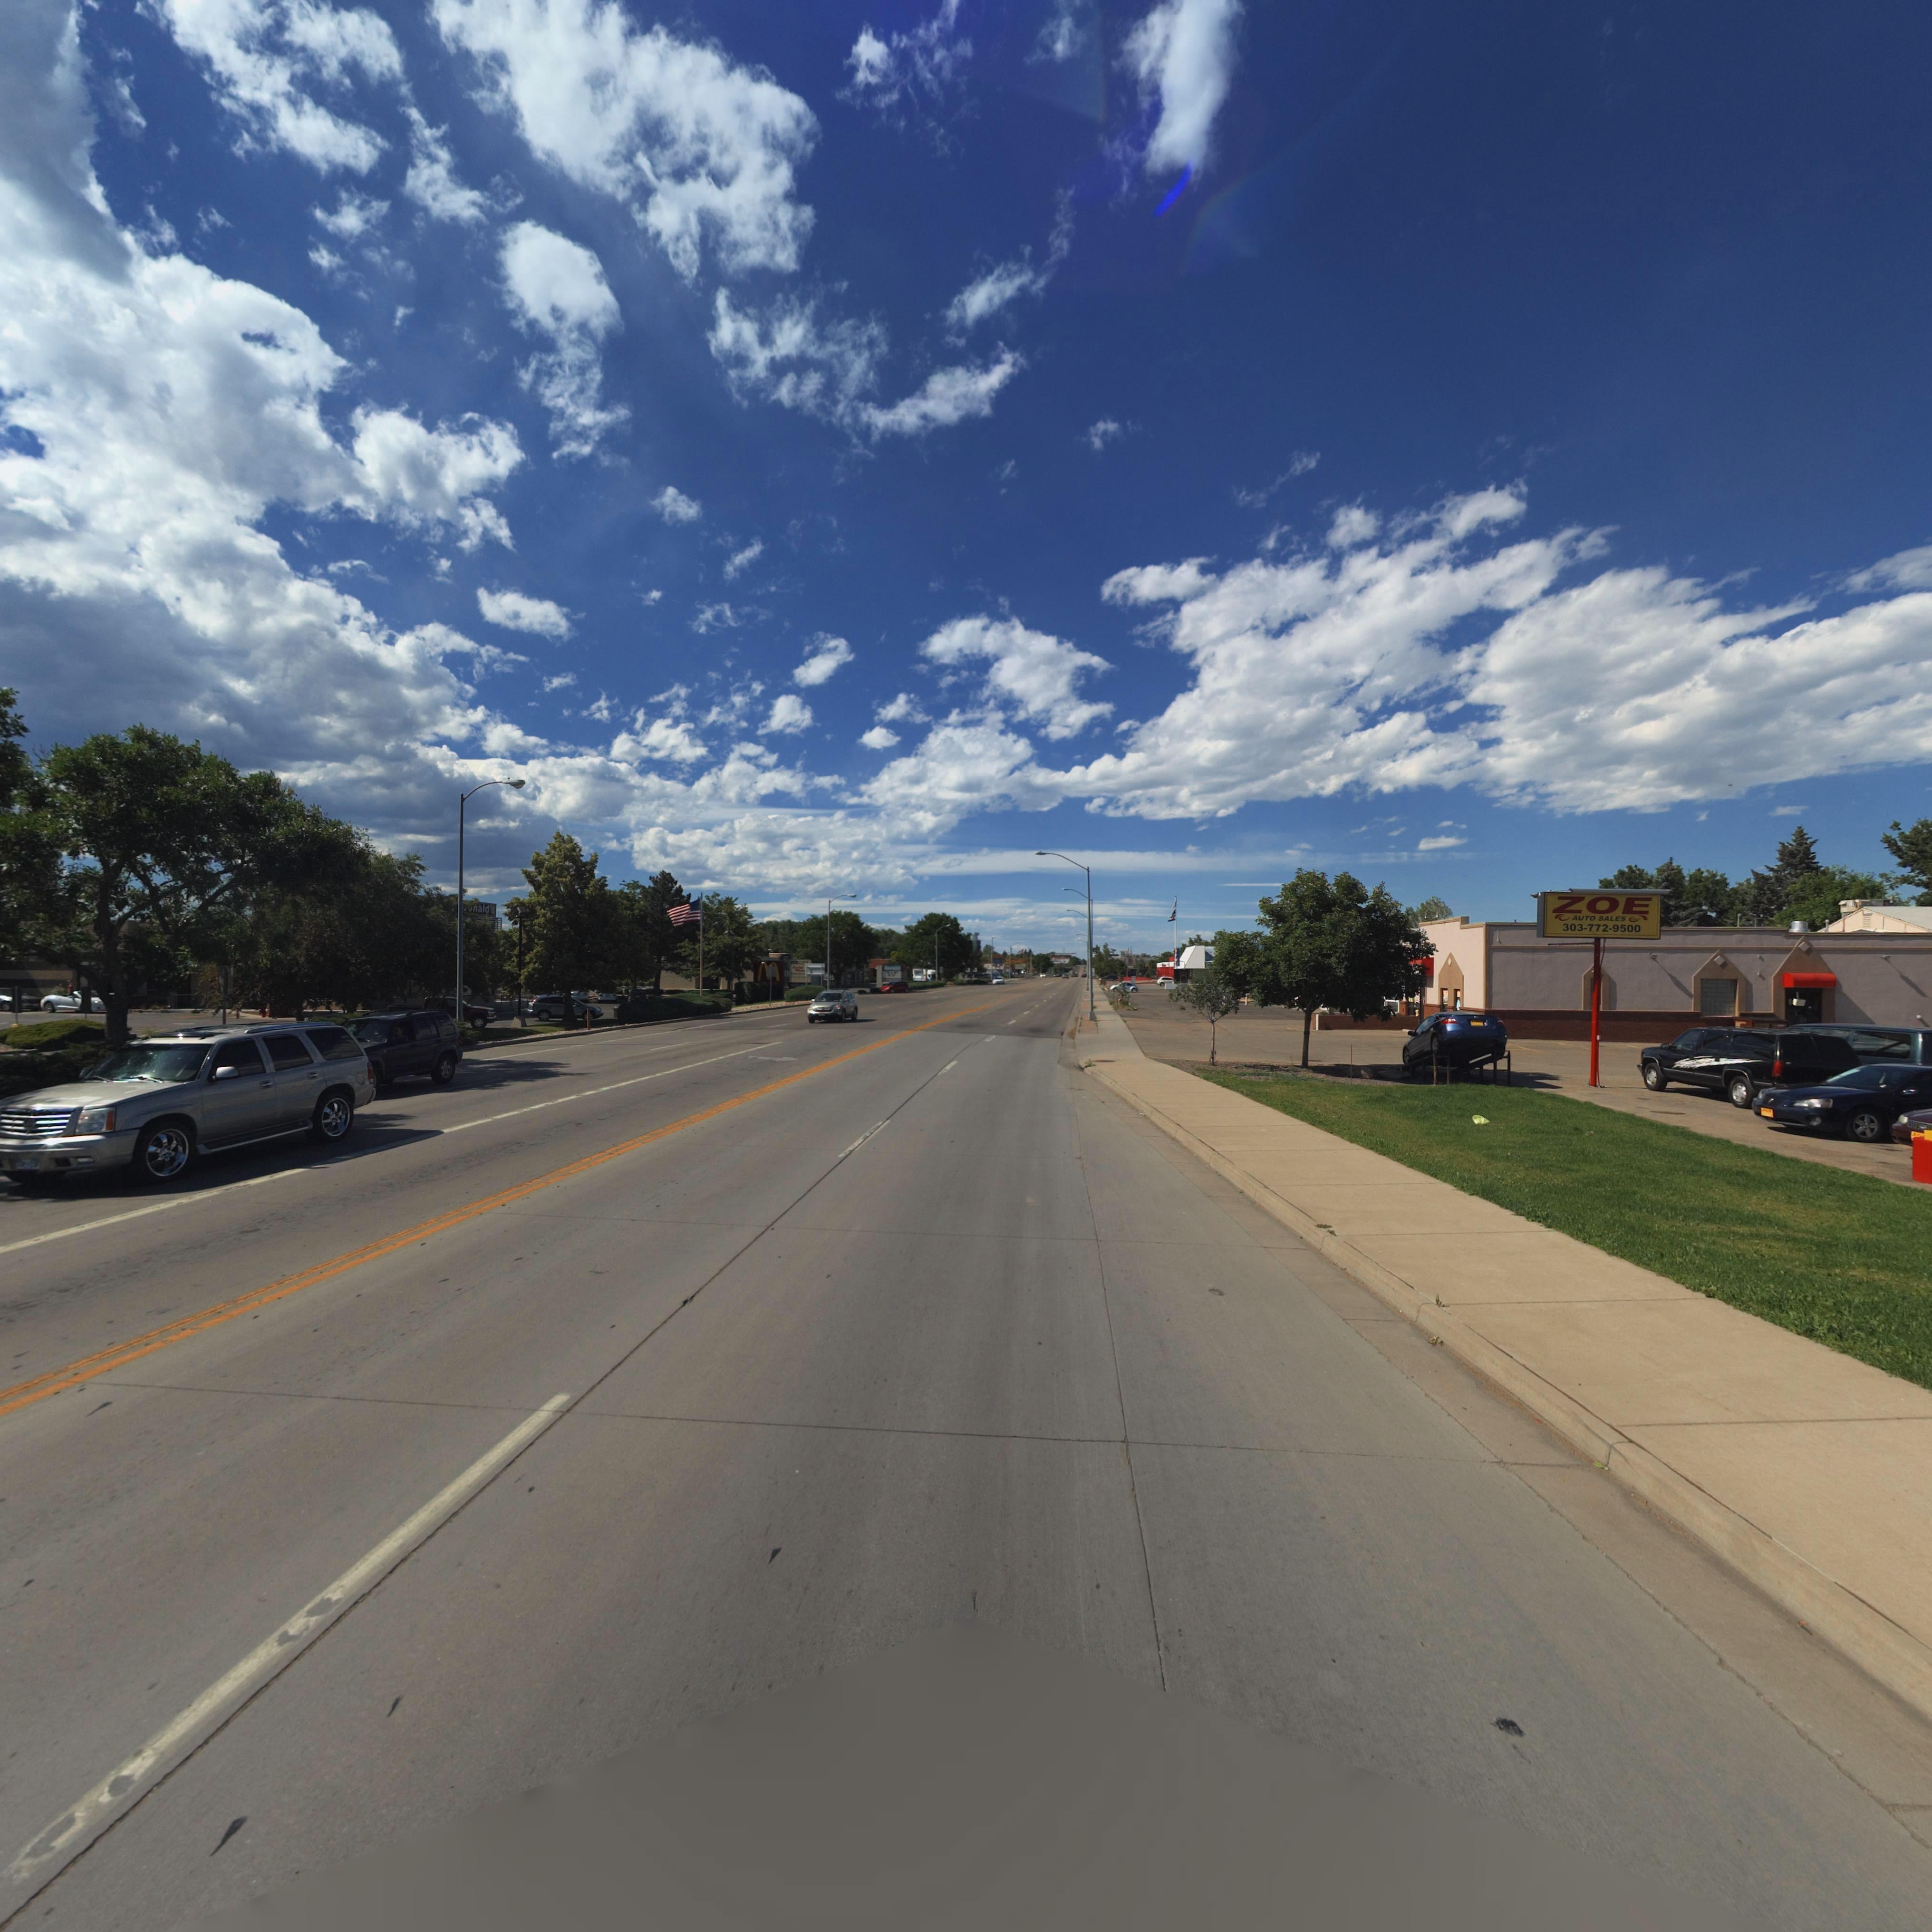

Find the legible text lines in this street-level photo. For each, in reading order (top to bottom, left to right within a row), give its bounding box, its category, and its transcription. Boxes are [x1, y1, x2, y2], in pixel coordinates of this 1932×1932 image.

[473, 904, 495, 914] BusinessName: nald's
[1551, 896, 1652, 915] BusinessName: ZOE
[1571, 915, 1626, 922] BusinessName: AUTO SALES